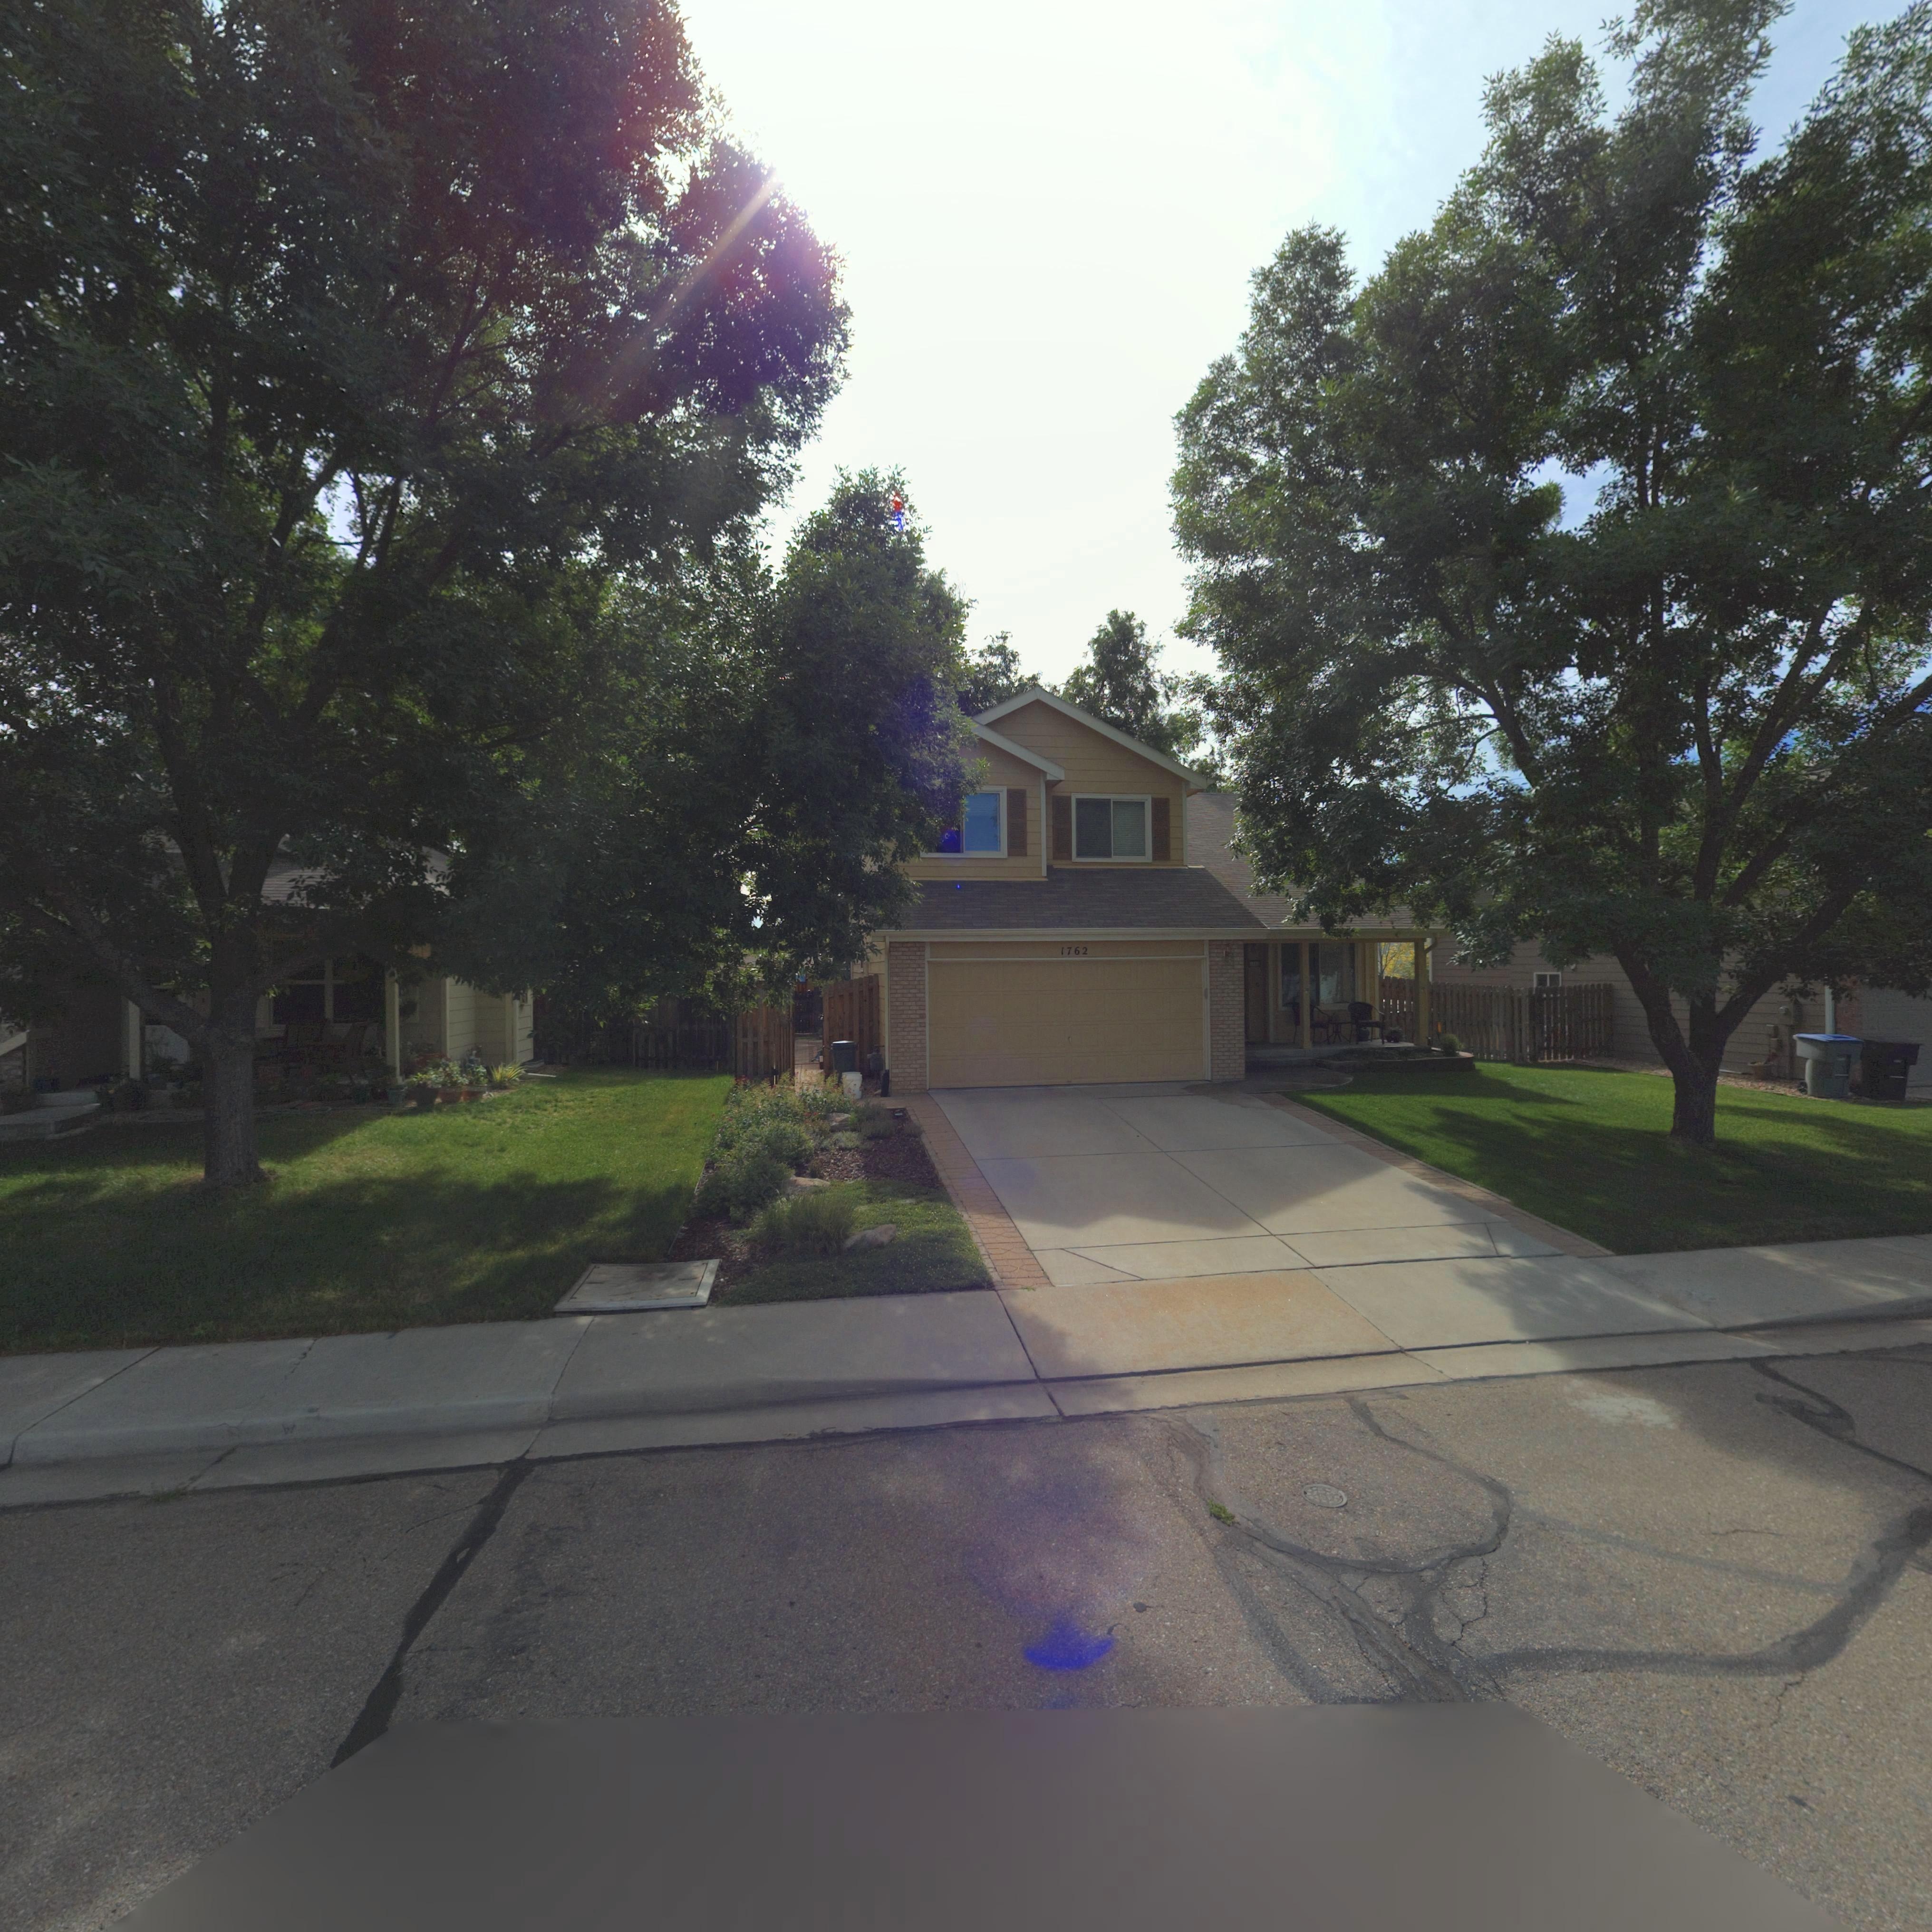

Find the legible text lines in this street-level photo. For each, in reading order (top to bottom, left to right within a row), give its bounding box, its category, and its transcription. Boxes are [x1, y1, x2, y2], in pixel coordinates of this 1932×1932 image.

[1060, 946, 1088, 955] StreetNumber: 1762